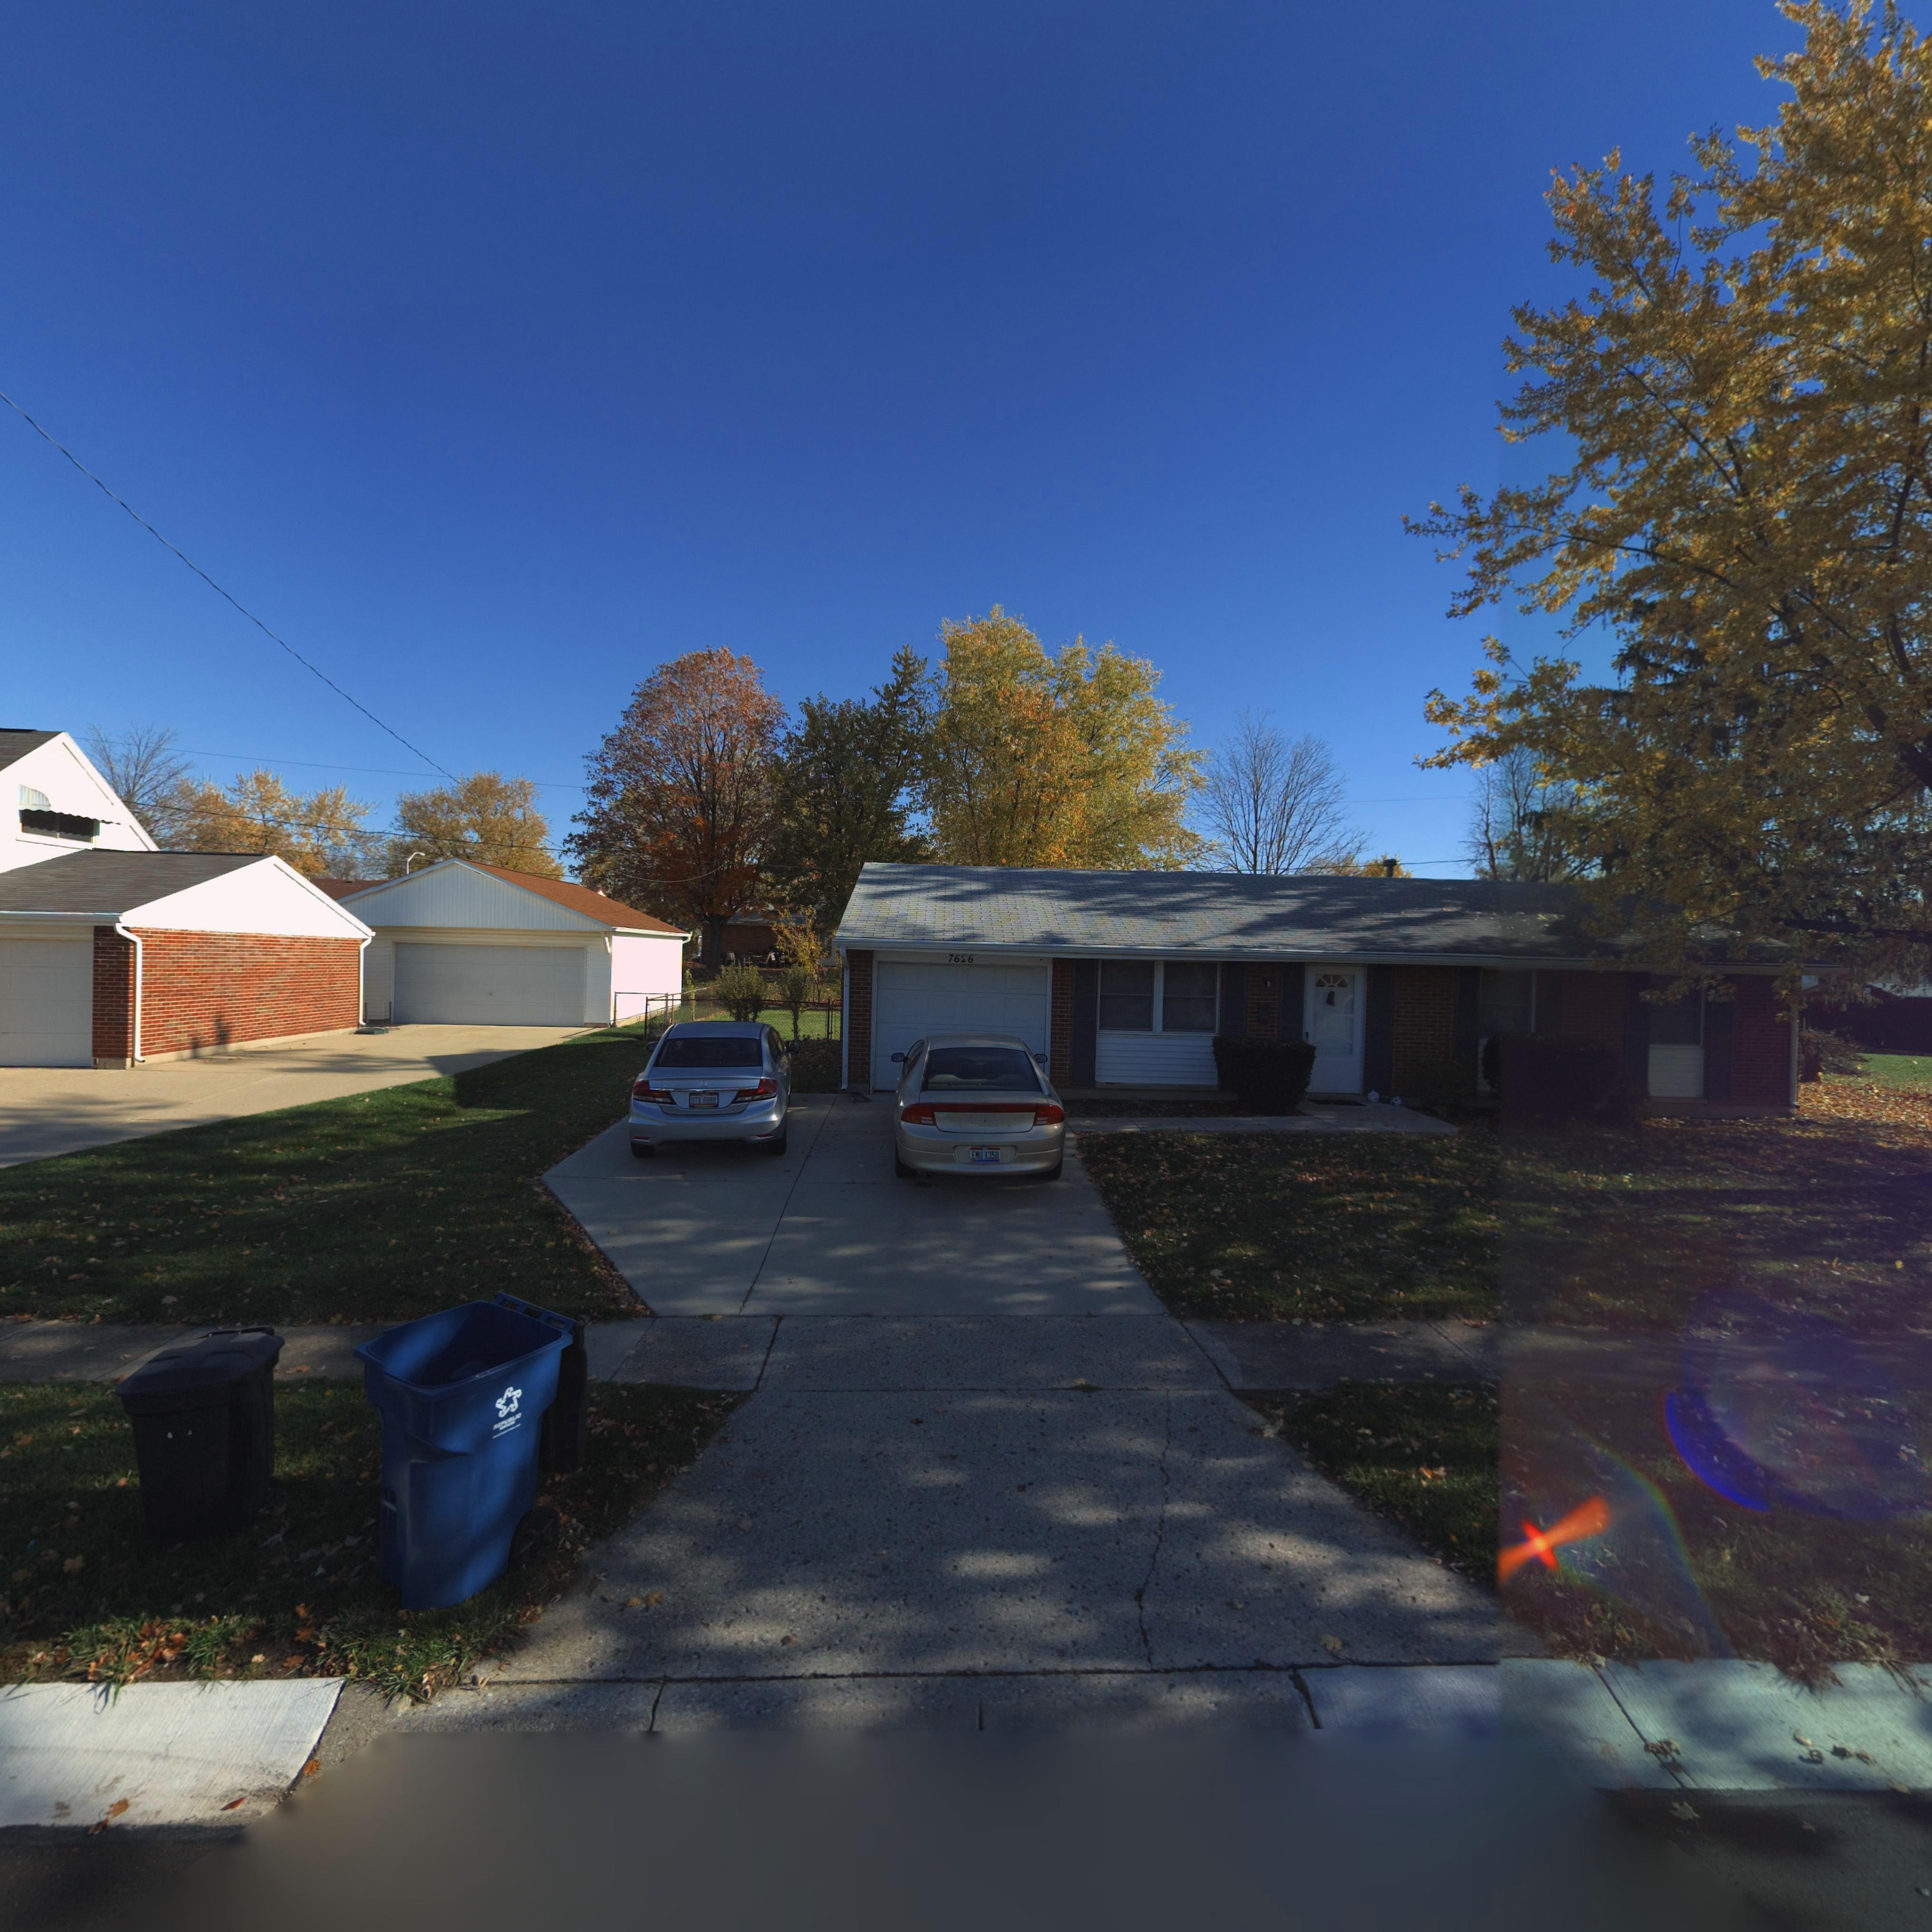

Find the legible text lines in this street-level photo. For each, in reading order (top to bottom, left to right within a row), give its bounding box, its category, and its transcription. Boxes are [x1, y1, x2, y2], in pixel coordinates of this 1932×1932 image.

[947, 953, 975, 964] StreetNumber: 76*6